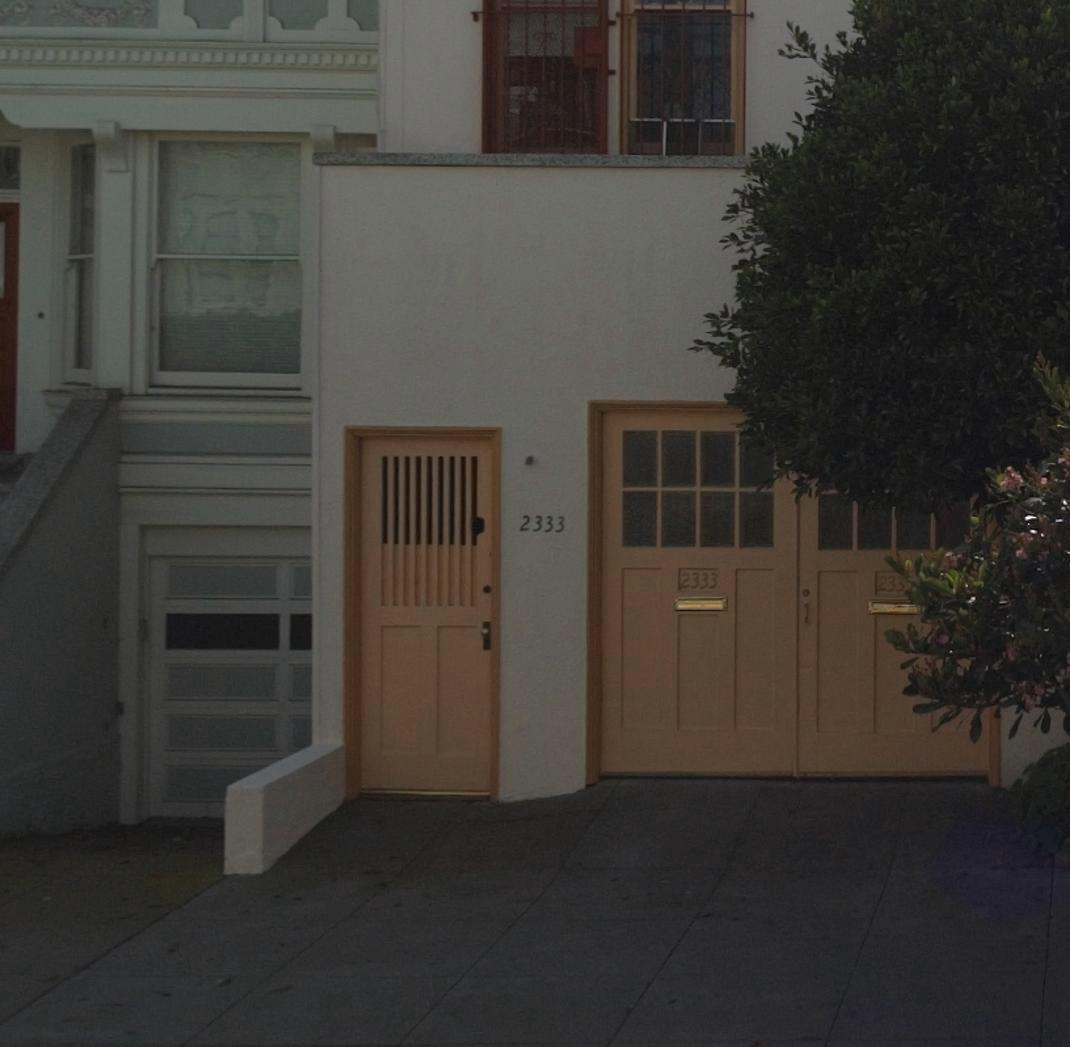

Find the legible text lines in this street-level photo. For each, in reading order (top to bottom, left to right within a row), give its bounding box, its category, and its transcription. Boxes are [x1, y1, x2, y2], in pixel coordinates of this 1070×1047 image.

[516, 512, 569, 536] StreetNumber: 2333
[677, 569, 720, 592] StreetNumber: 2333
[875, 572, 908, 595] StreetNumber: 233